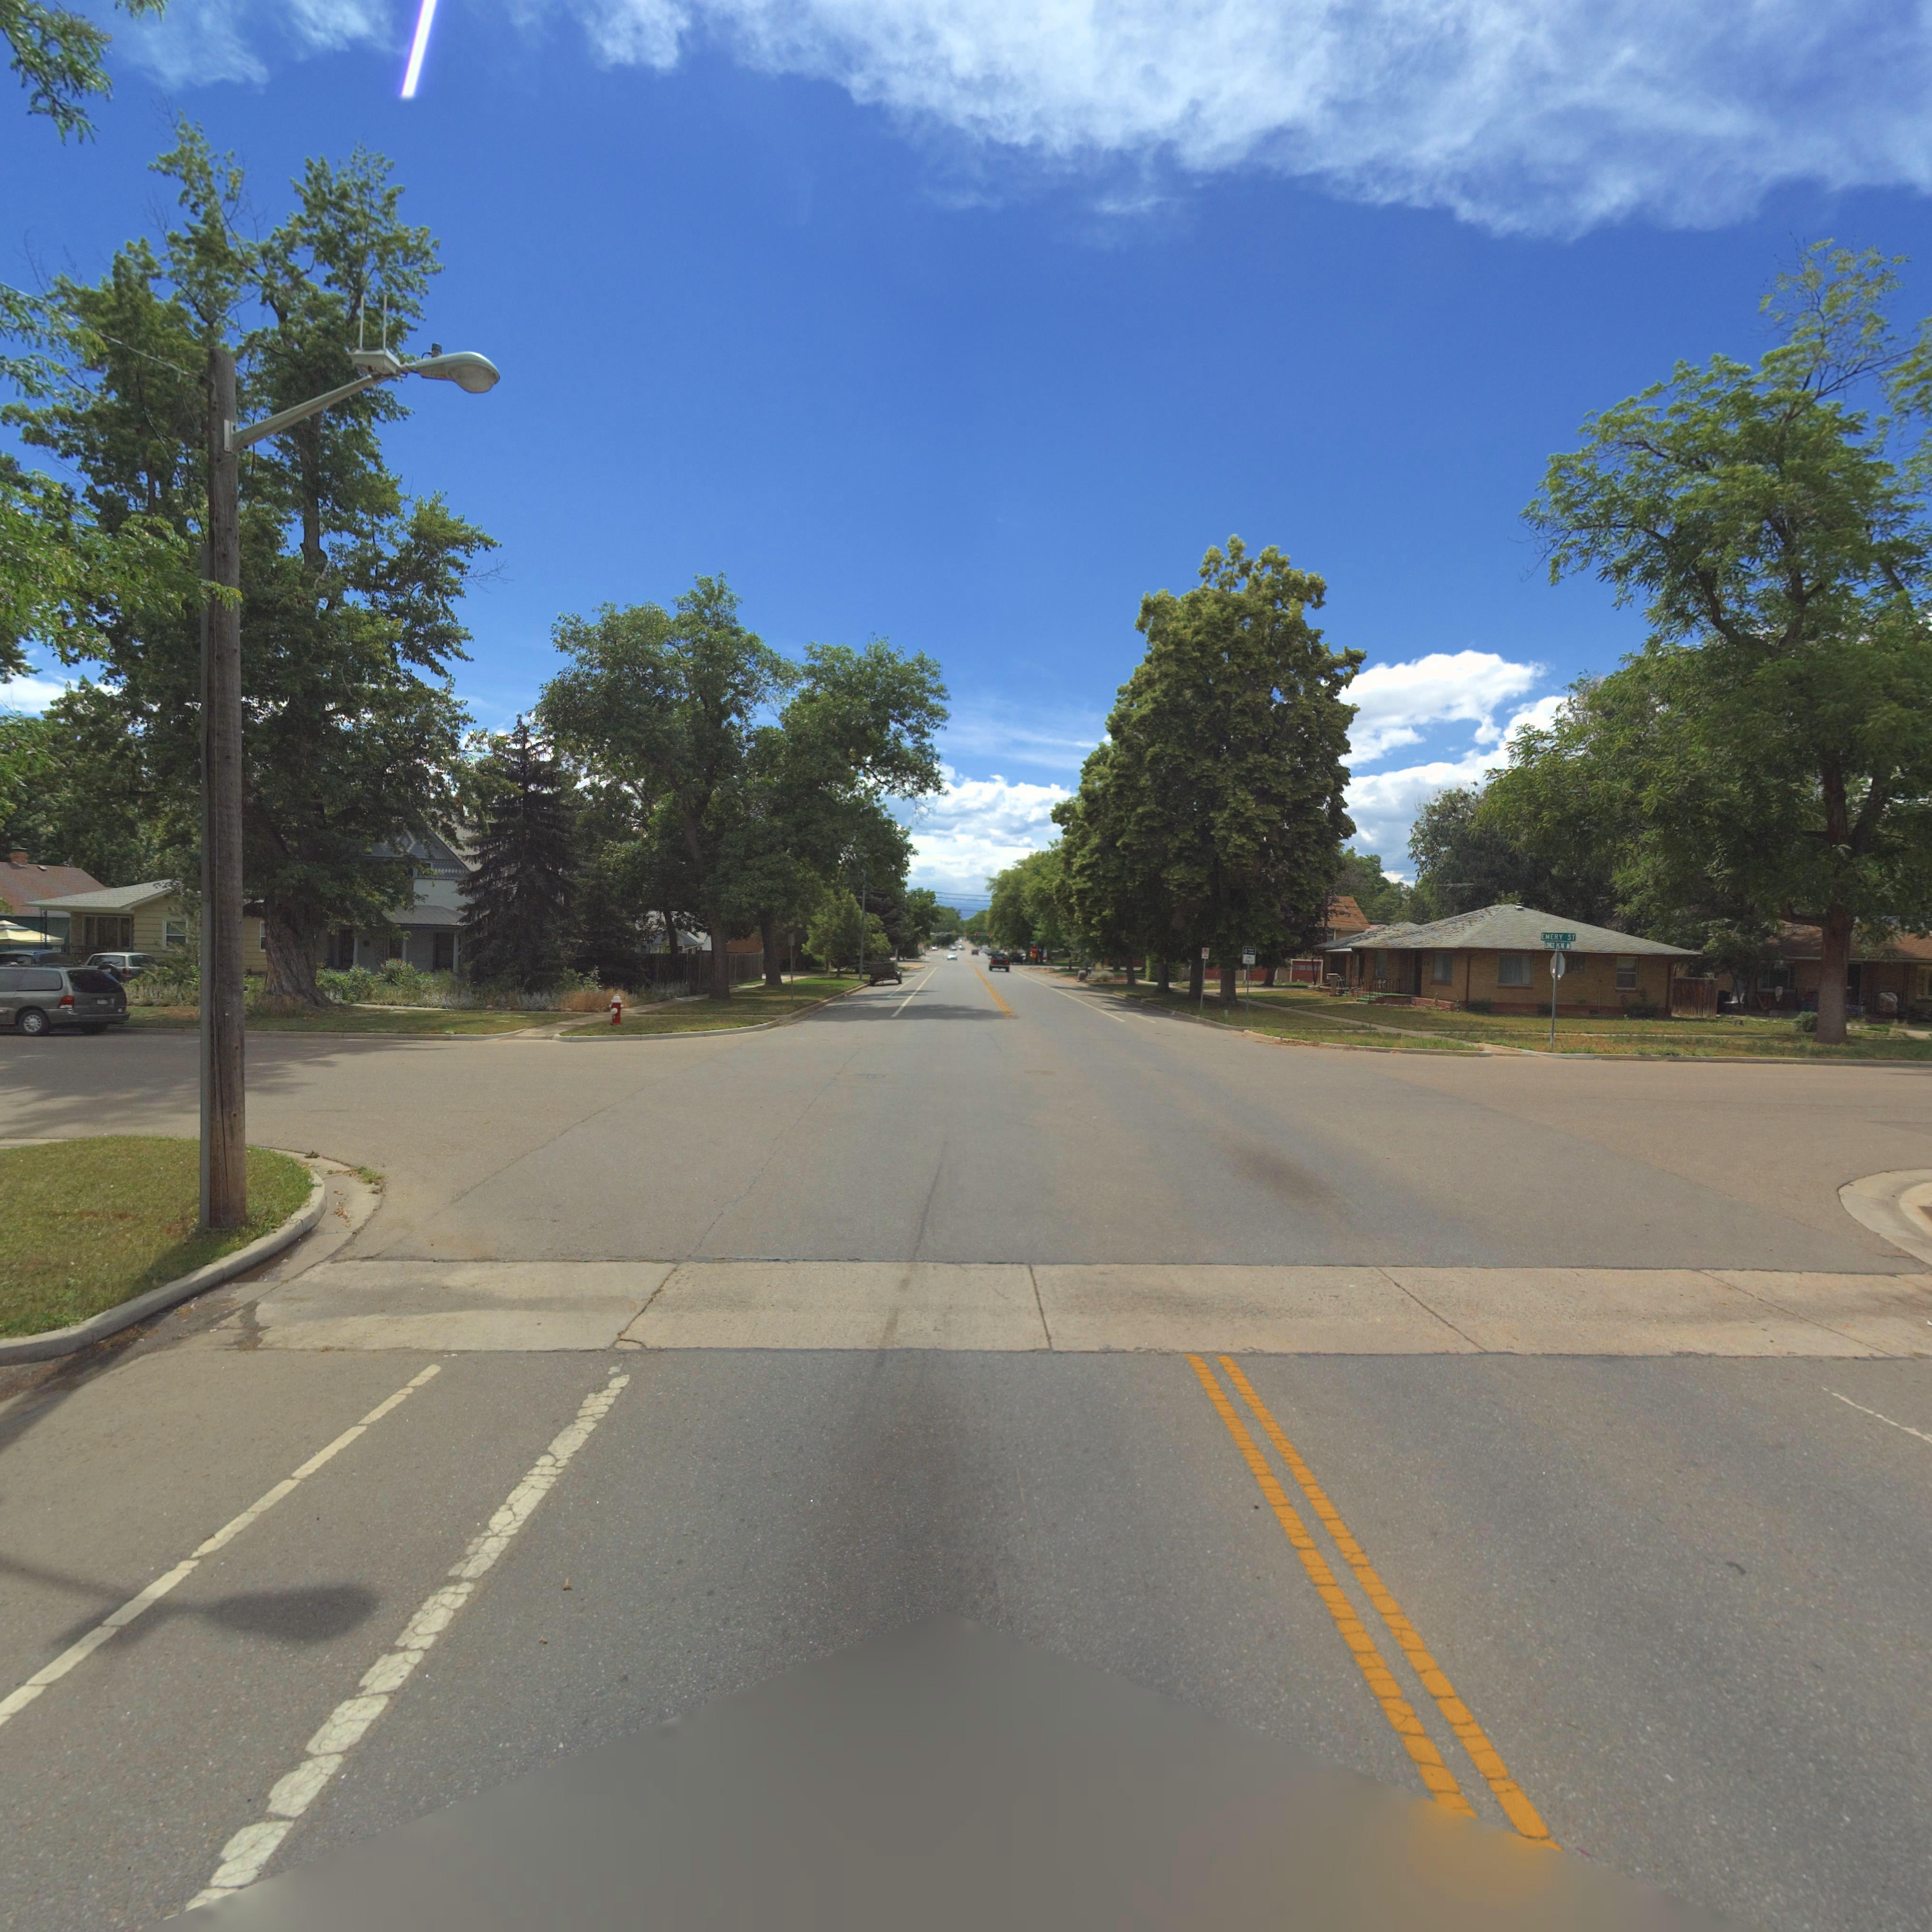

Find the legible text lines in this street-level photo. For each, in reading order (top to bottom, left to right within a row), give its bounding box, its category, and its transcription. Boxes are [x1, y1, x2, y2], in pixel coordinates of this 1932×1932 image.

[1540, 933, 1576, 940] StreetName: EMERY ST
[1544, 941, 1571, 949] StreetName: LONGS PEAK AV